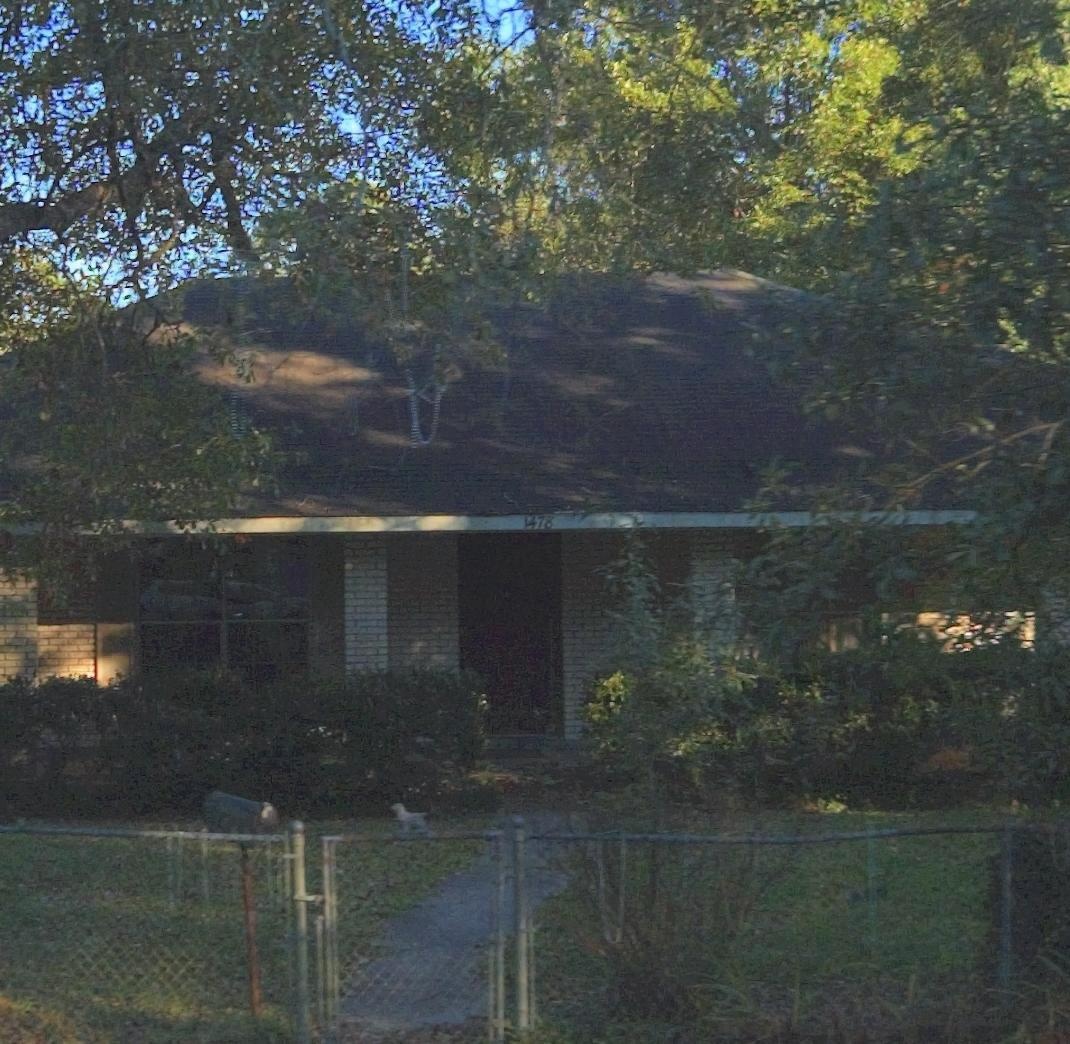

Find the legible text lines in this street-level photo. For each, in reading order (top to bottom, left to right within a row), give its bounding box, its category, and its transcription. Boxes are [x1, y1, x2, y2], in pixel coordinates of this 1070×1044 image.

[522, 513, 556, 531] StreetNumber: 1478